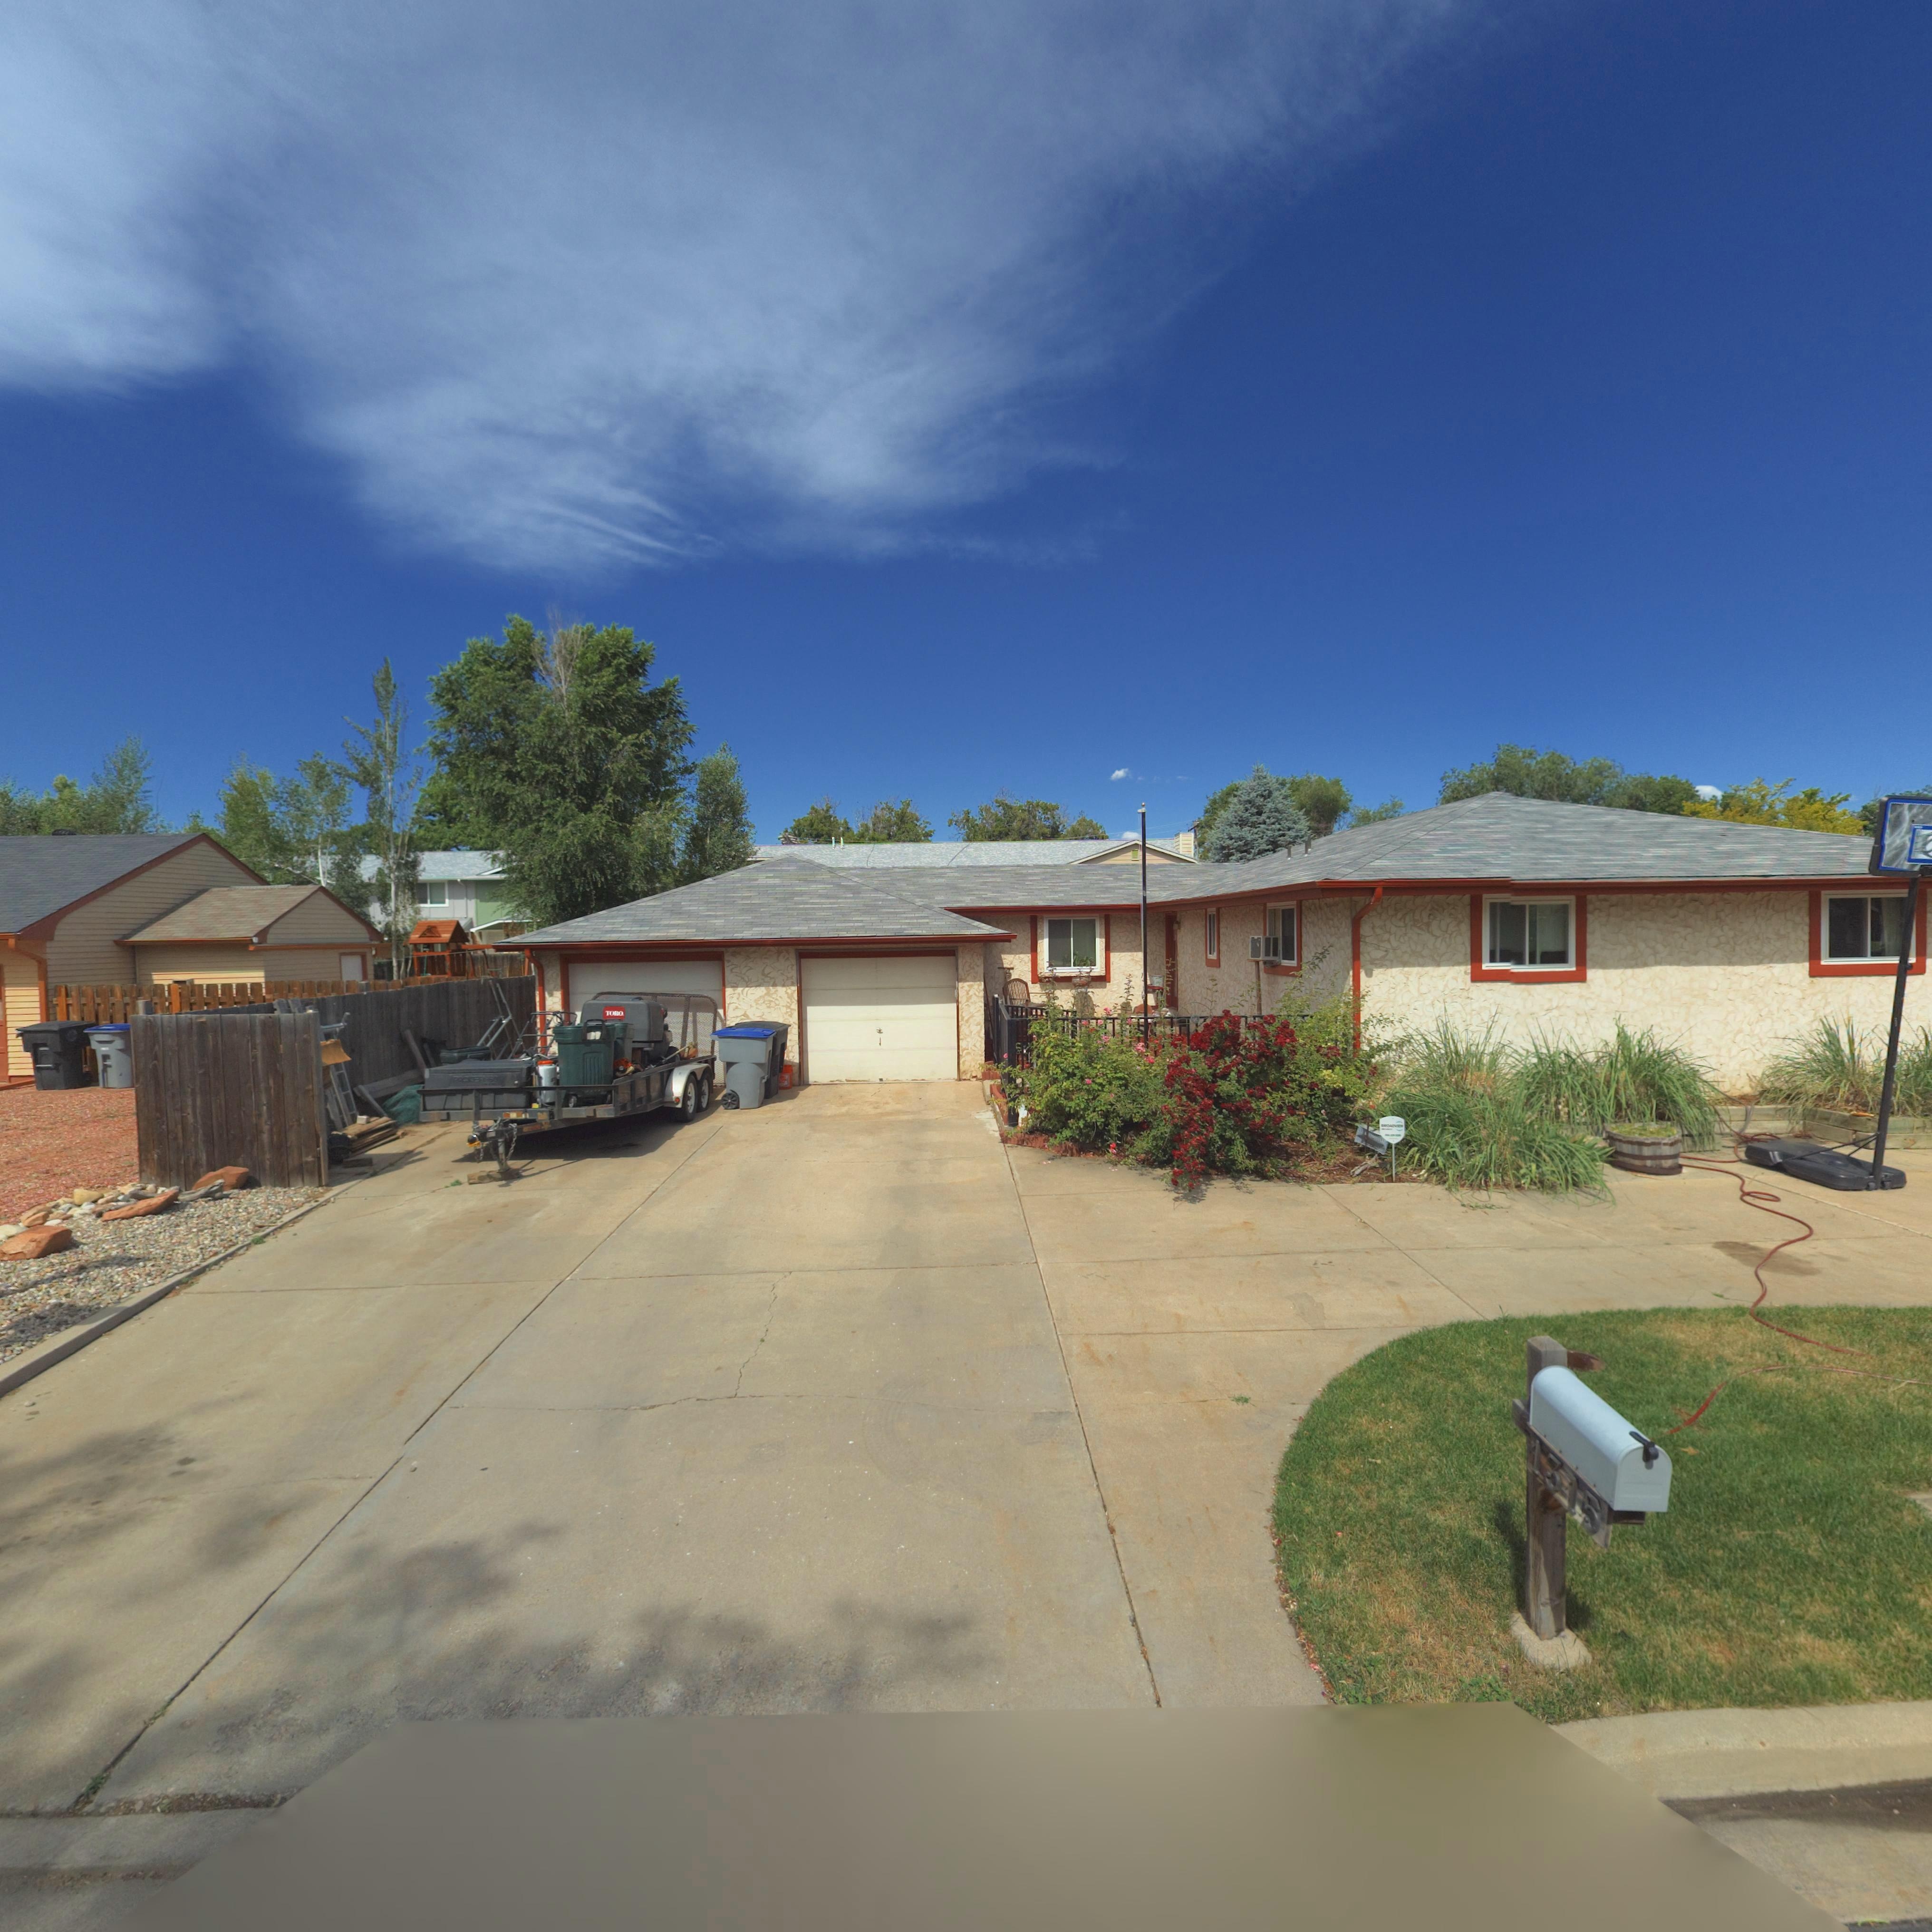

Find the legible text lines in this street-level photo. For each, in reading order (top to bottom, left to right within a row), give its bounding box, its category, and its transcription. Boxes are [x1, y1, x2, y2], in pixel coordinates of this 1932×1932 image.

[1529, 1437, 1602, 1535] StreetNumber: 1315